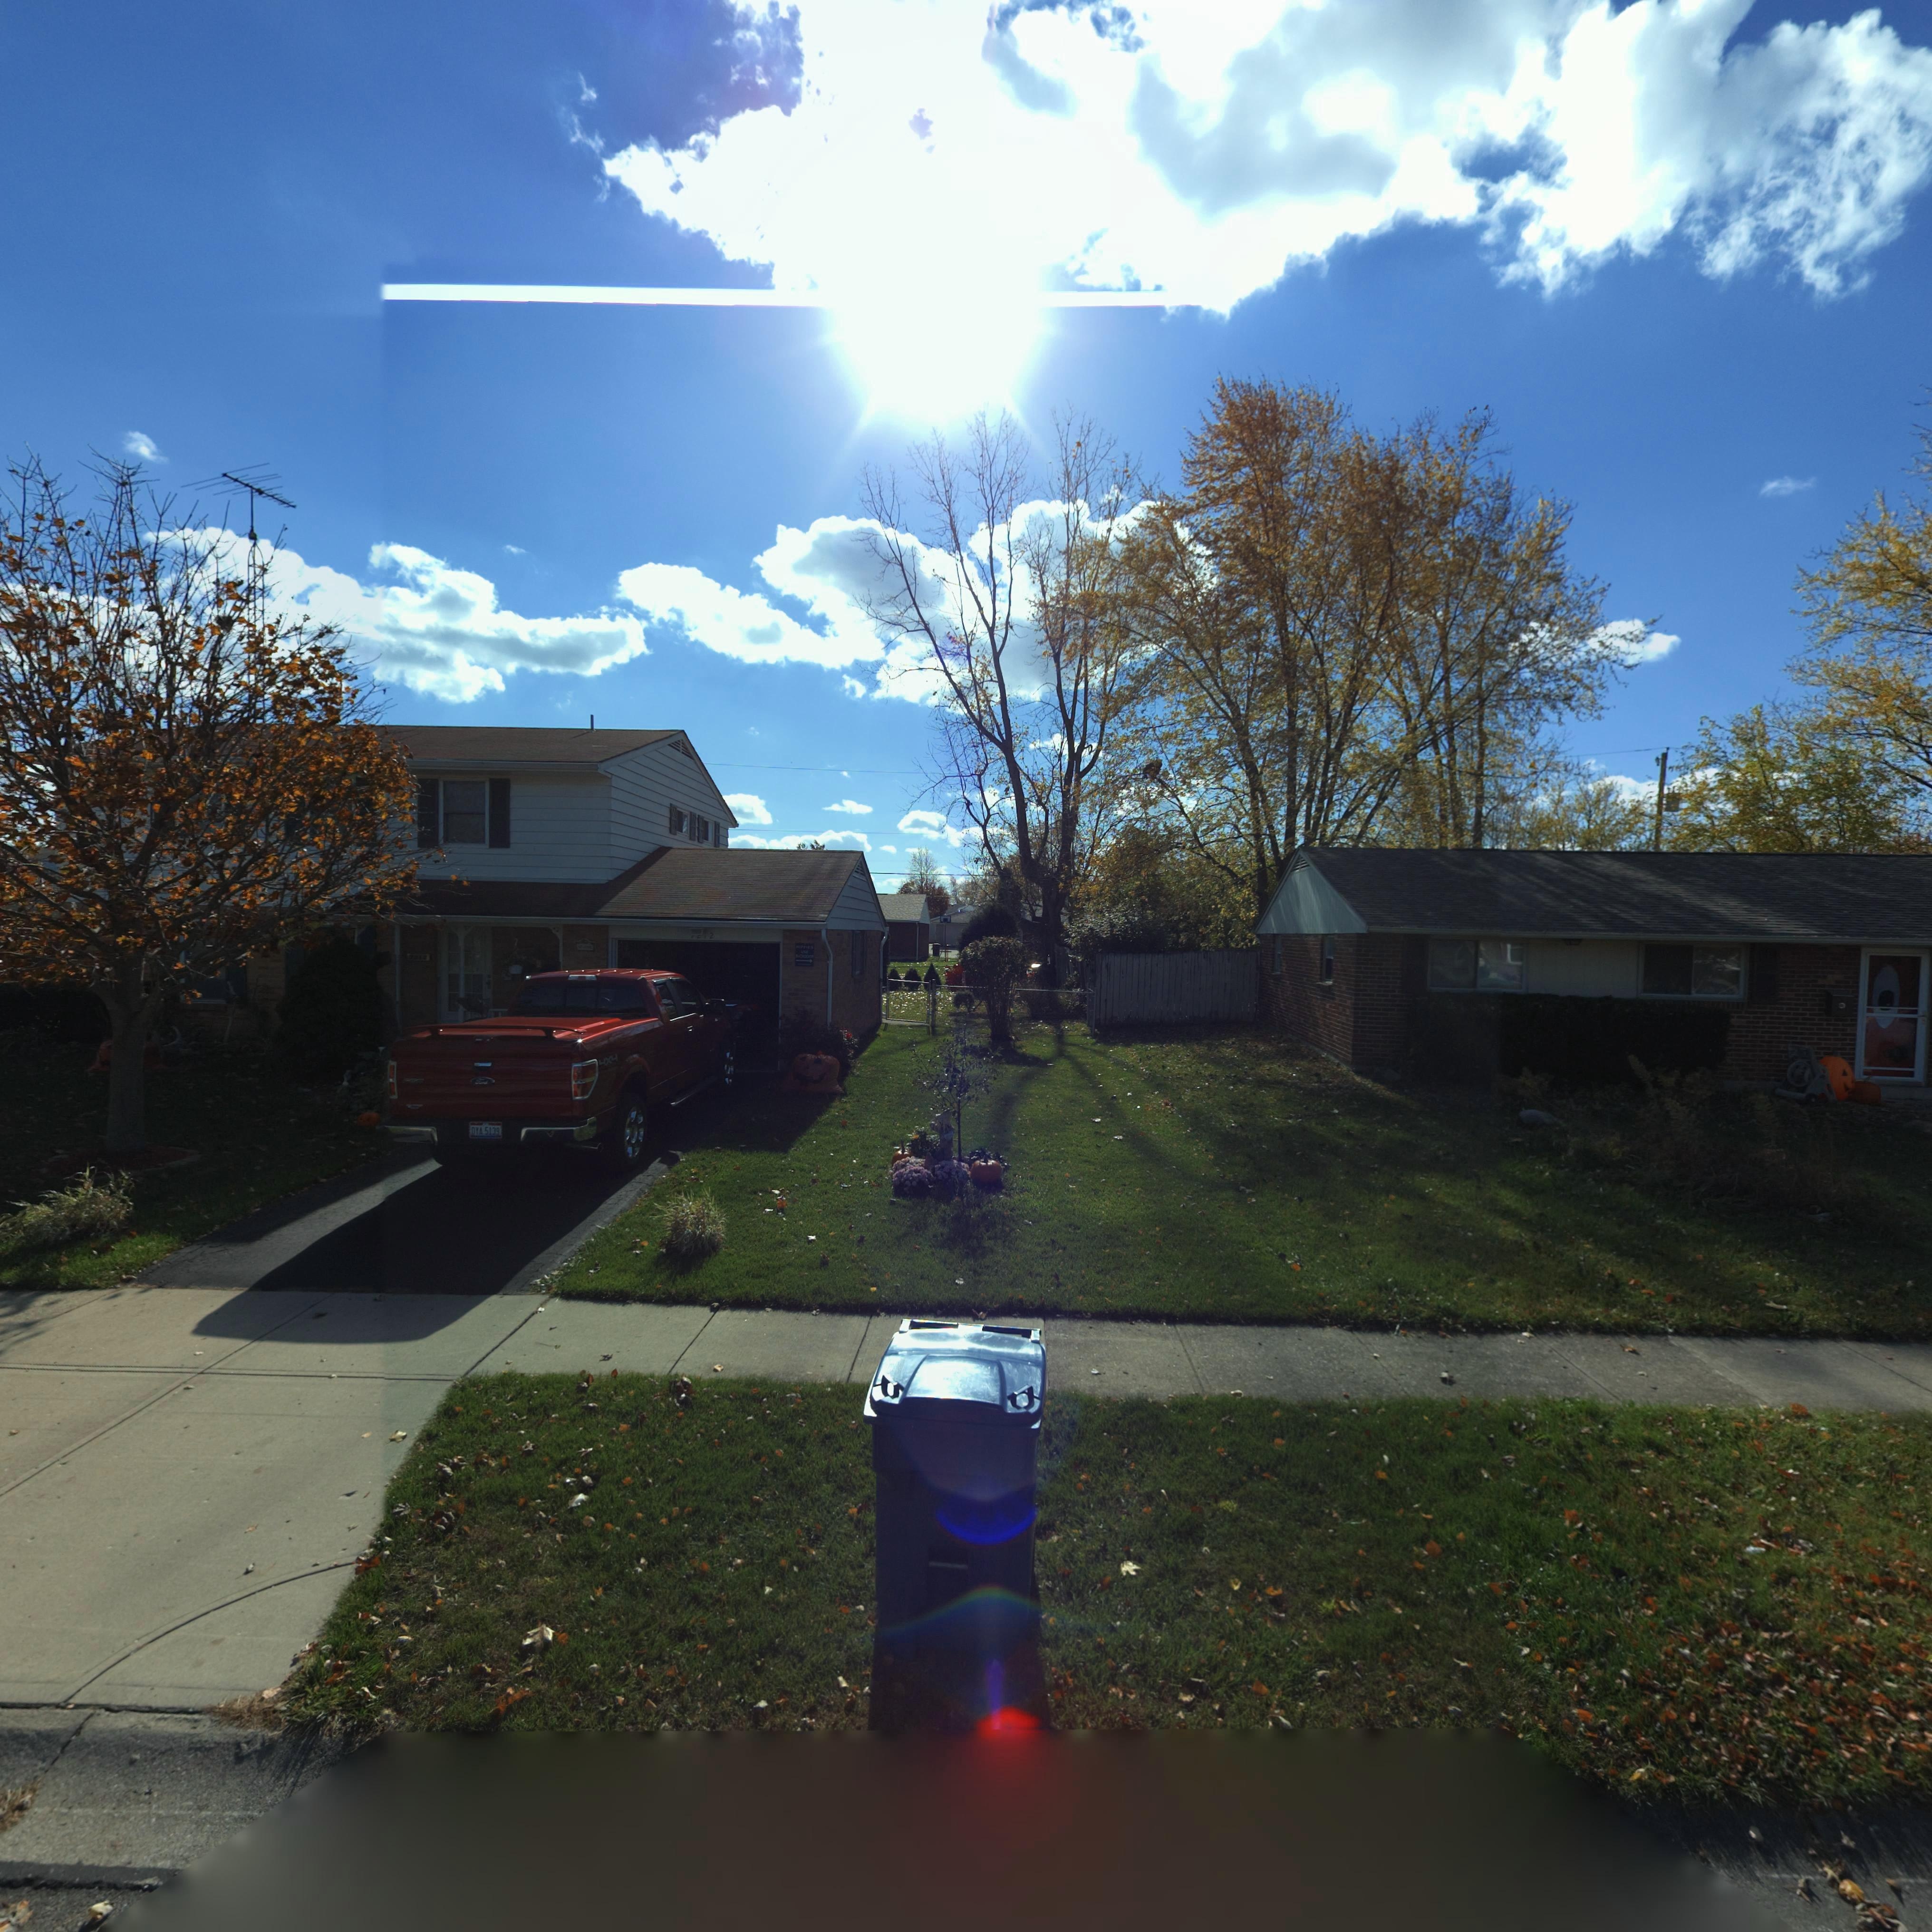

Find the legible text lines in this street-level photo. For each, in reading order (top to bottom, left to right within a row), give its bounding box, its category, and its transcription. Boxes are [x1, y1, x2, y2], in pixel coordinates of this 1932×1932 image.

[703, 931, 715, 940] StreetNumber: 12